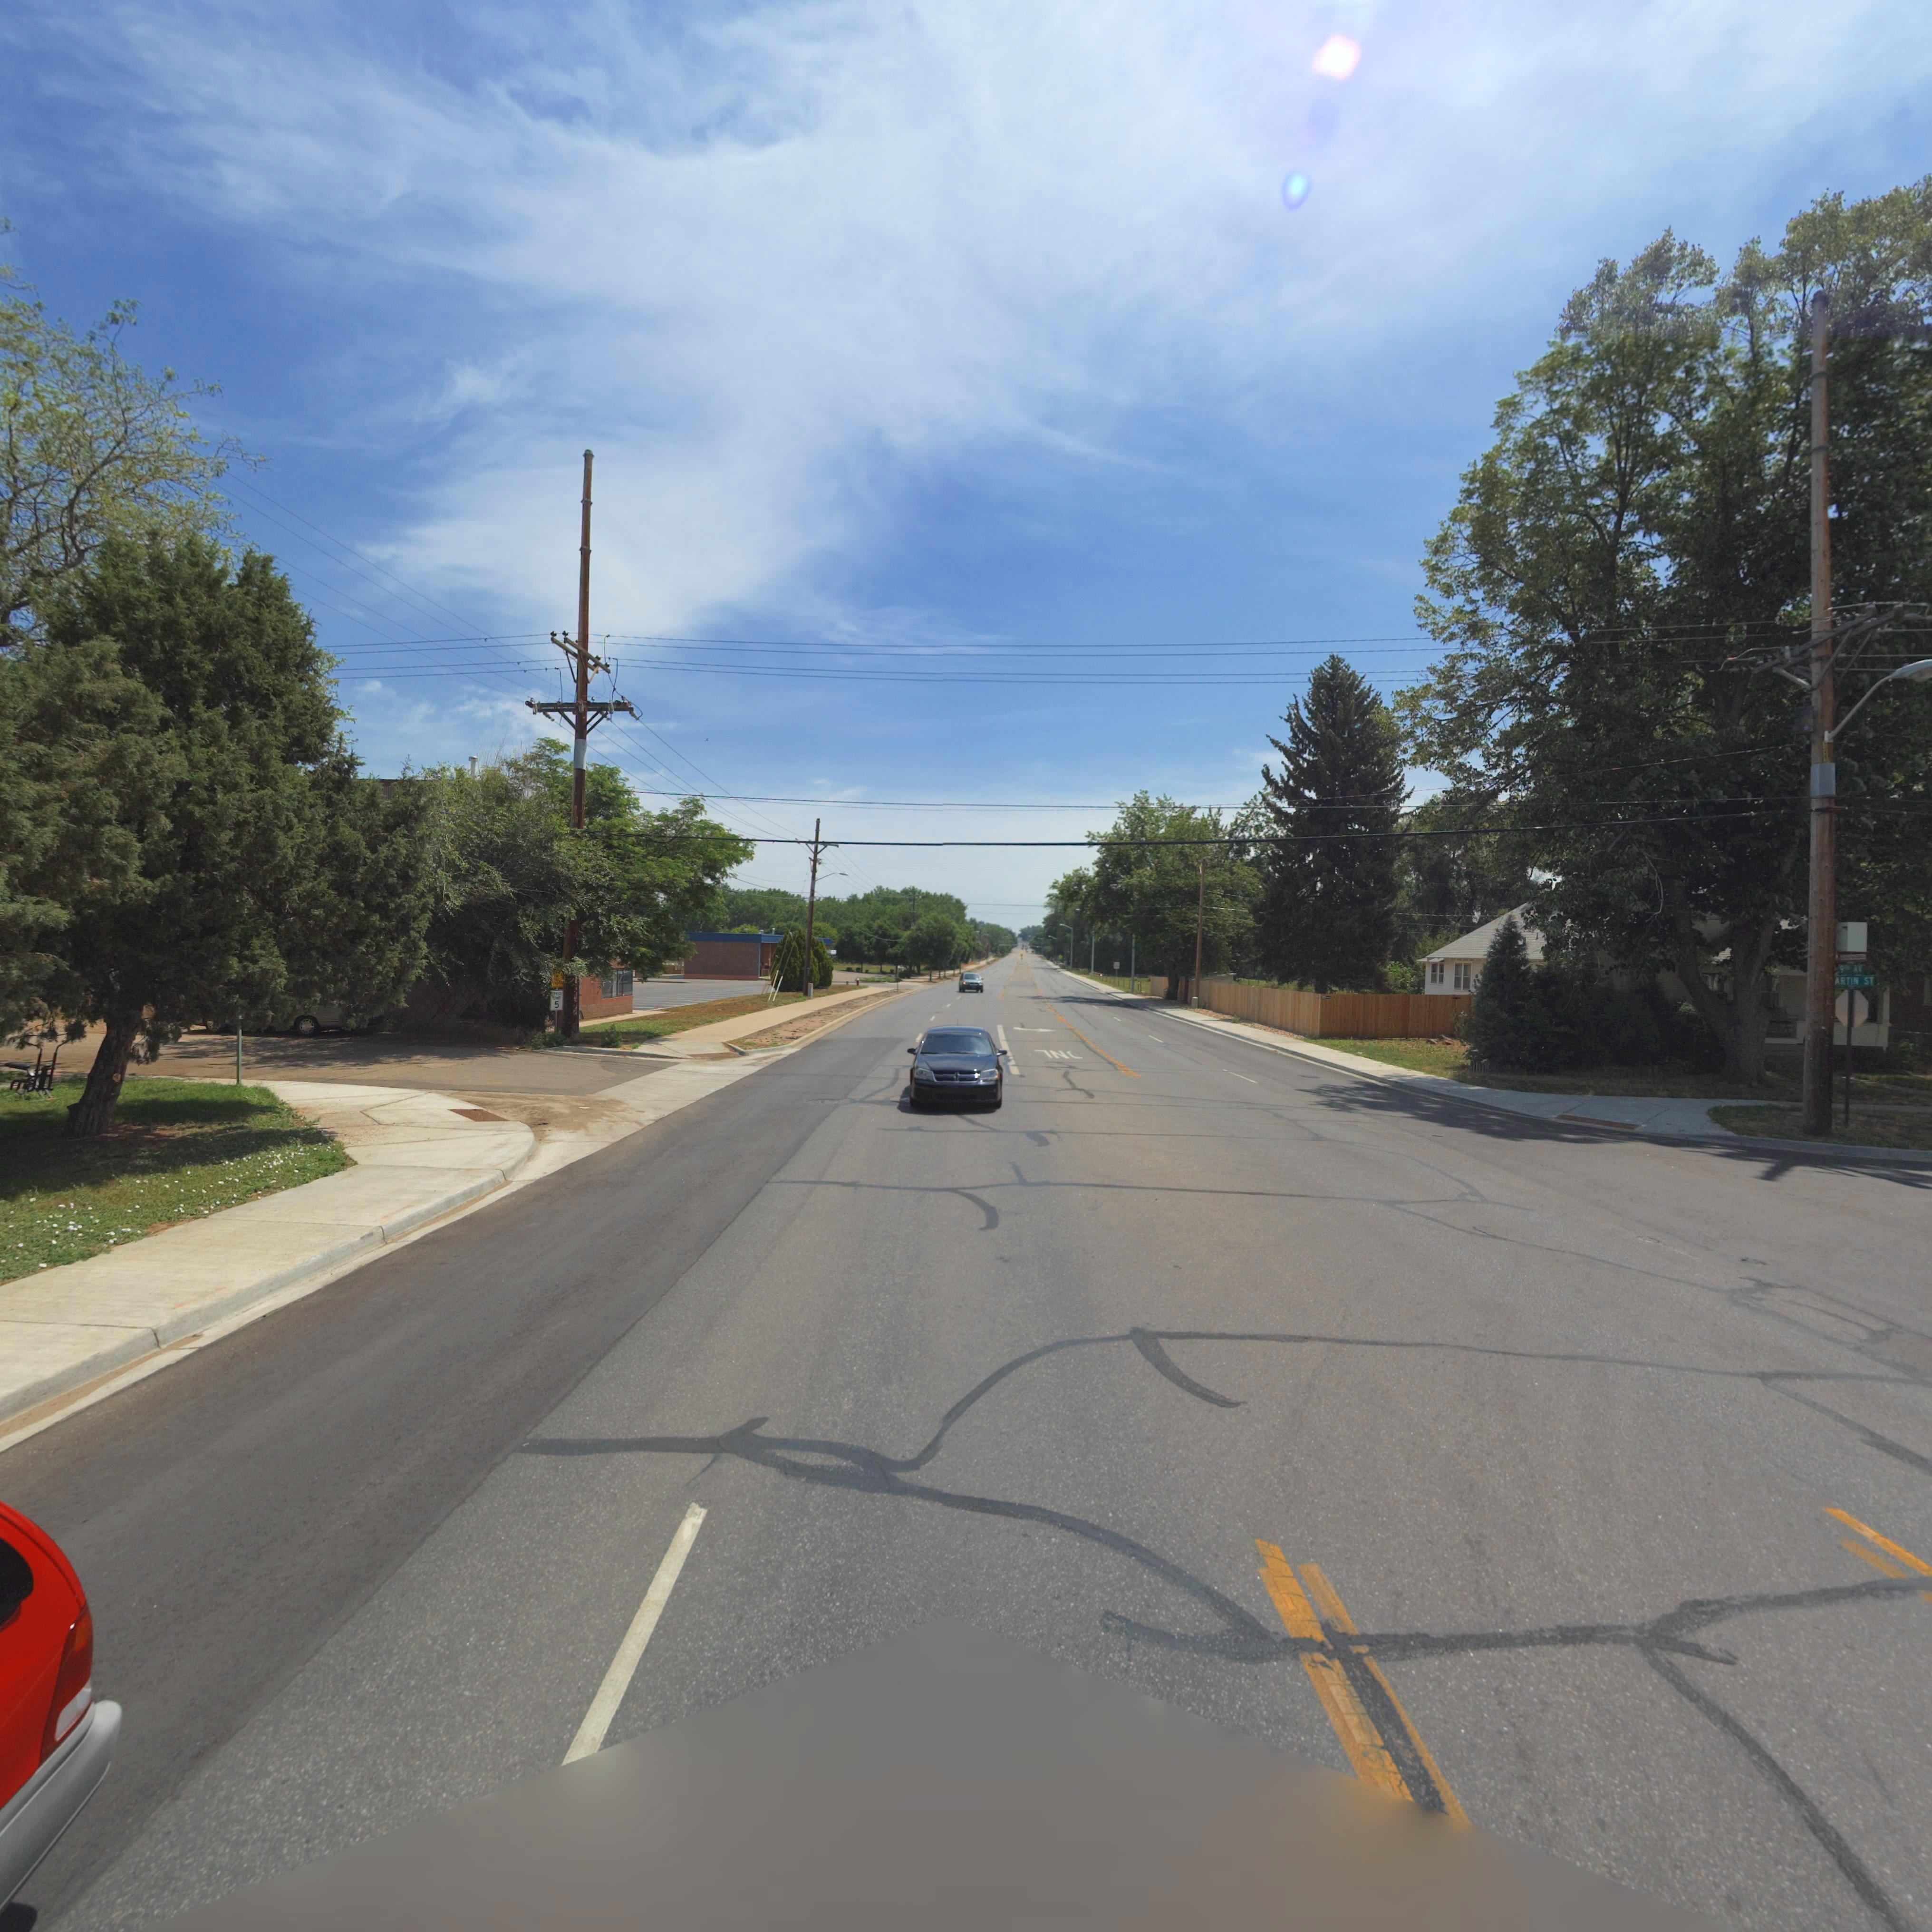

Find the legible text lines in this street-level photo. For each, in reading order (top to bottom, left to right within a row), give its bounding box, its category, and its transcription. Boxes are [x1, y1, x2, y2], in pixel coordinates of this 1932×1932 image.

[1839, 964, 1862, 973] StreetName: 9TH AV
[1834, 976, 1874, 985] StreetName: ARTIN ST